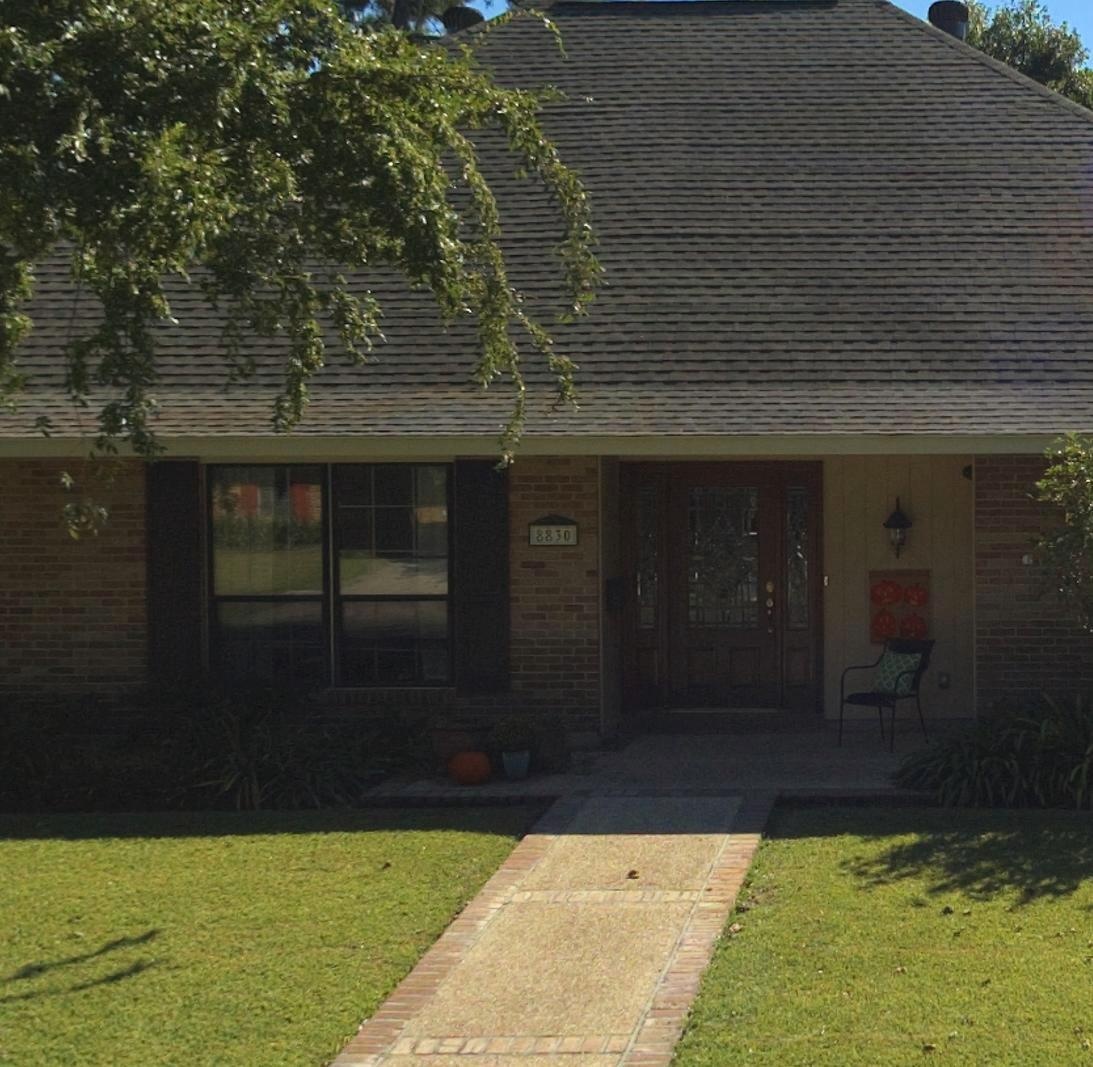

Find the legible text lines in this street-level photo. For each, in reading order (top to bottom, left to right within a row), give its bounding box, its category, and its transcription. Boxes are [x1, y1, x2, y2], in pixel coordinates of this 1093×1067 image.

[534, 528, 573, 544] StreetNumber: 8830